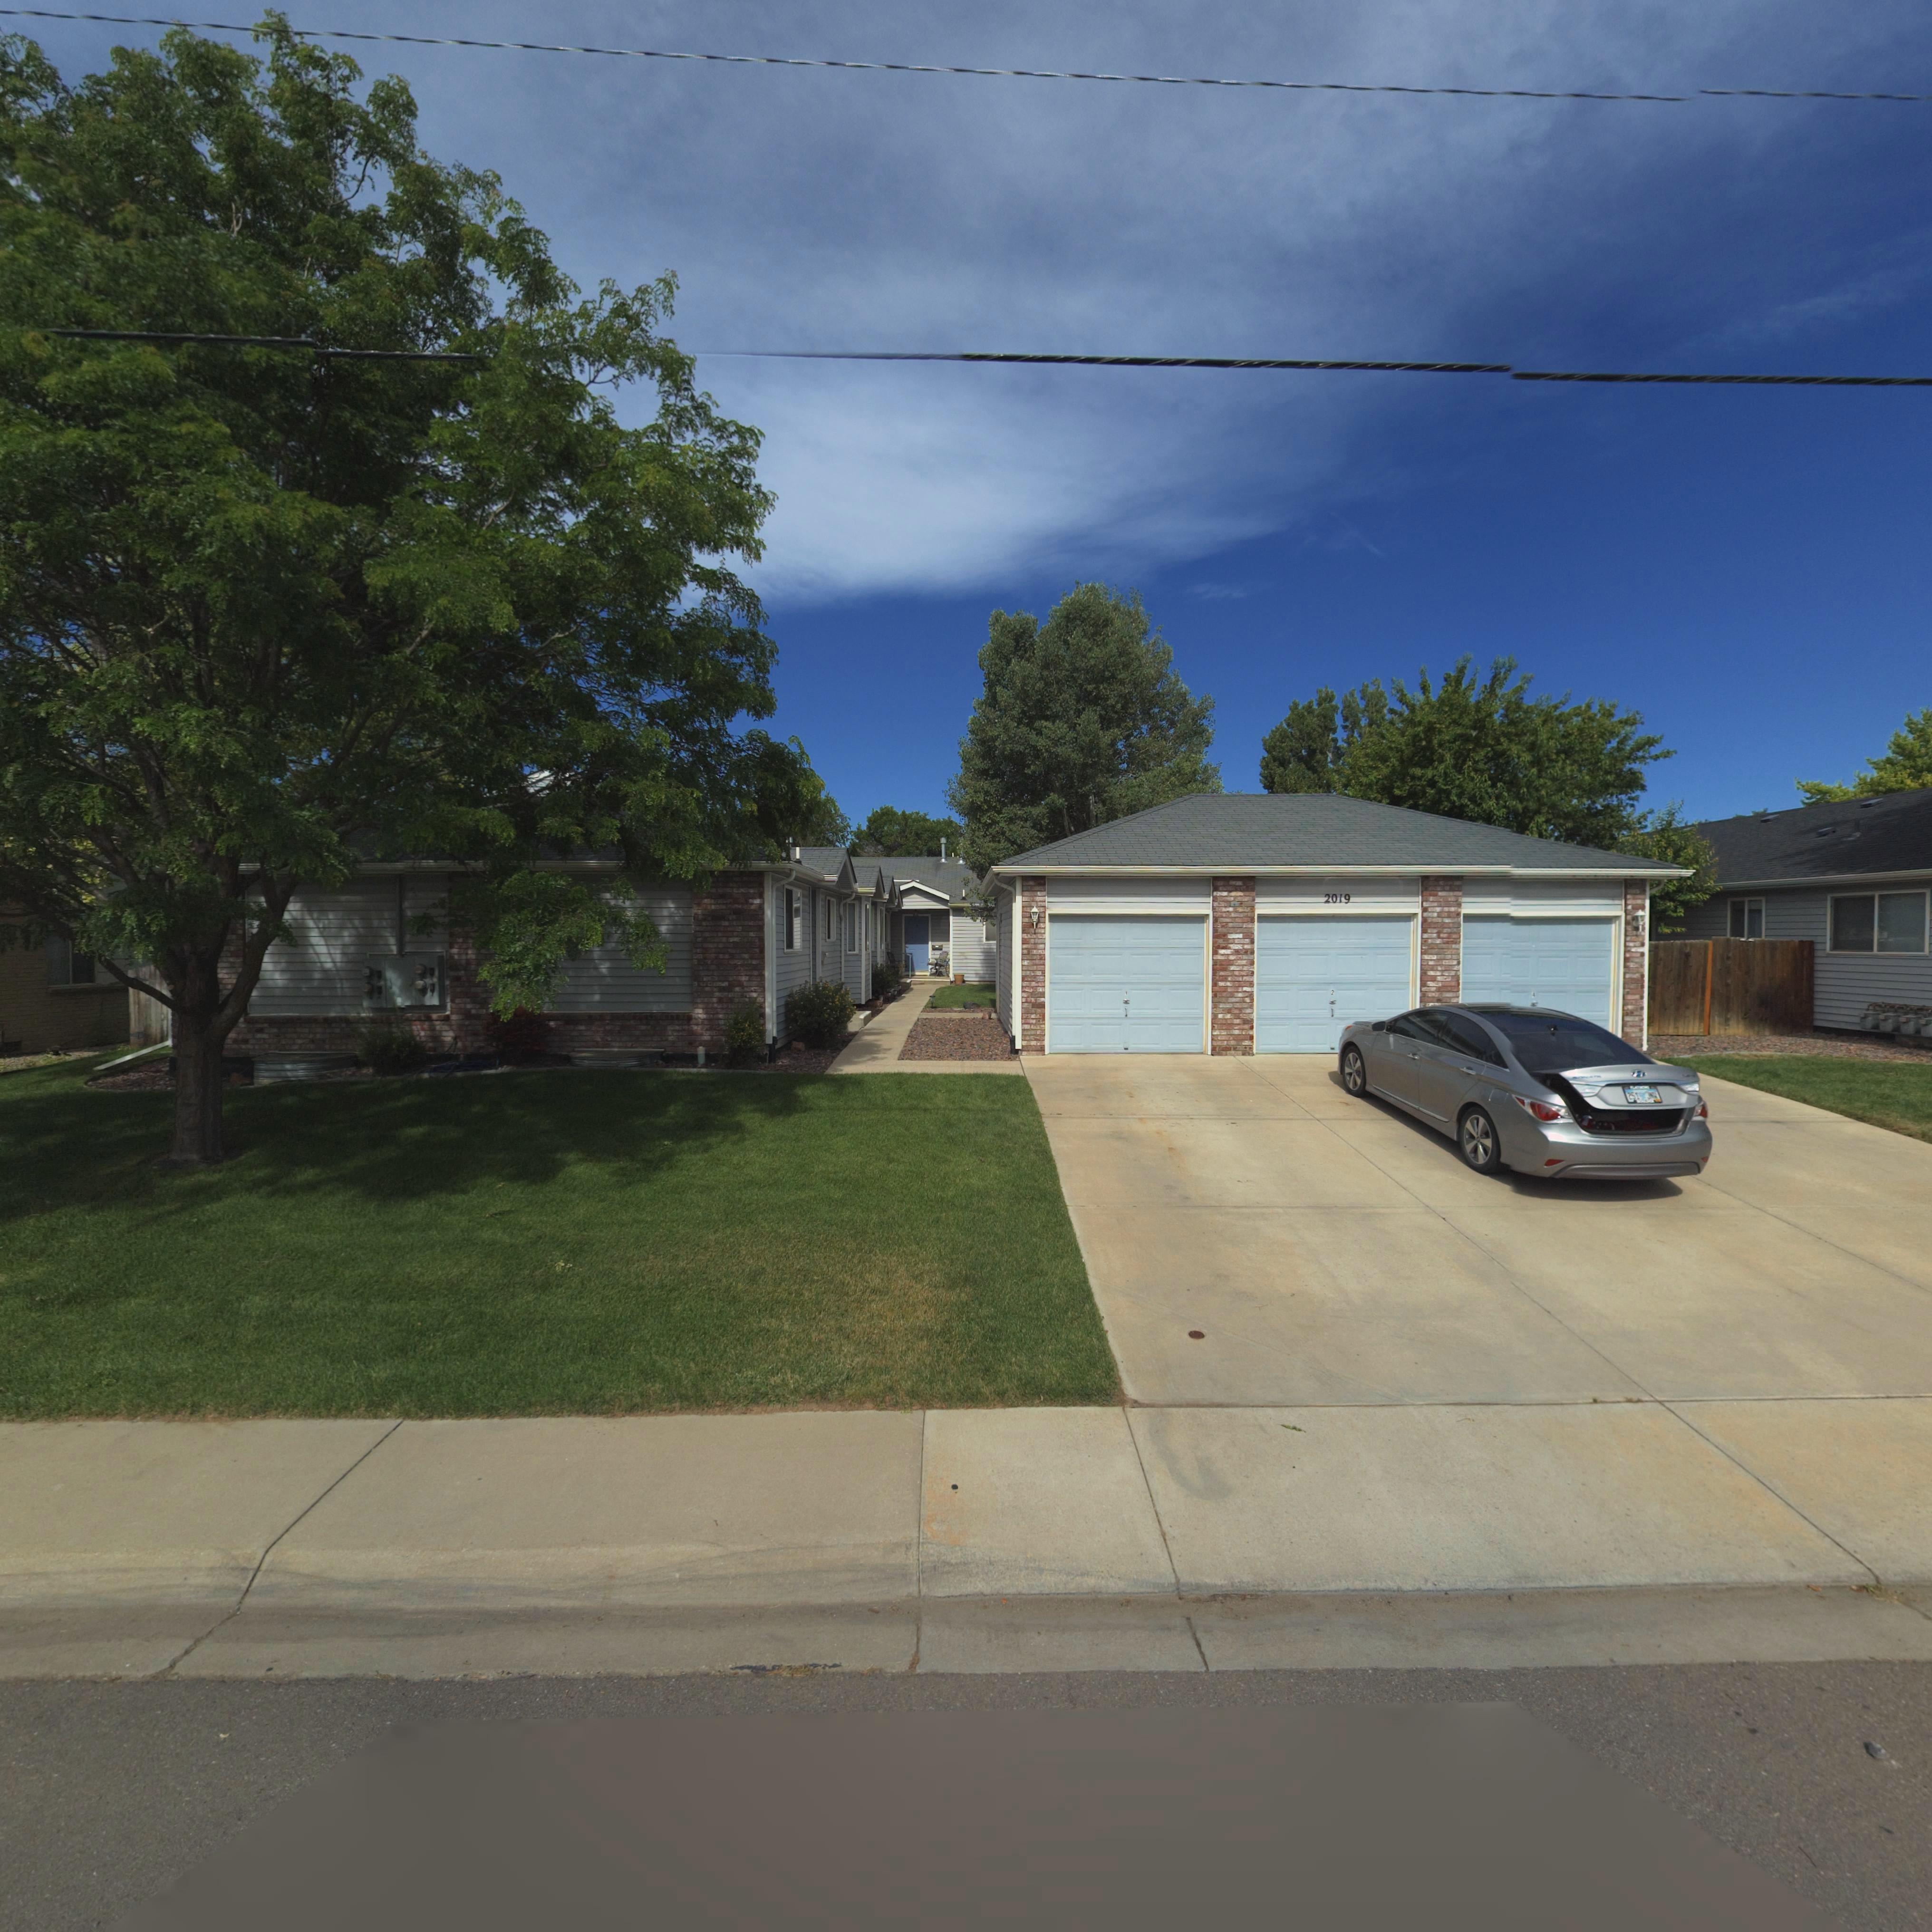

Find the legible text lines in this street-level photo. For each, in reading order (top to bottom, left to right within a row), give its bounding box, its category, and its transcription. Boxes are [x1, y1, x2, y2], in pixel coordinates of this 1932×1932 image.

[1323, 893, 1351, 904] StreetNumber: 2019